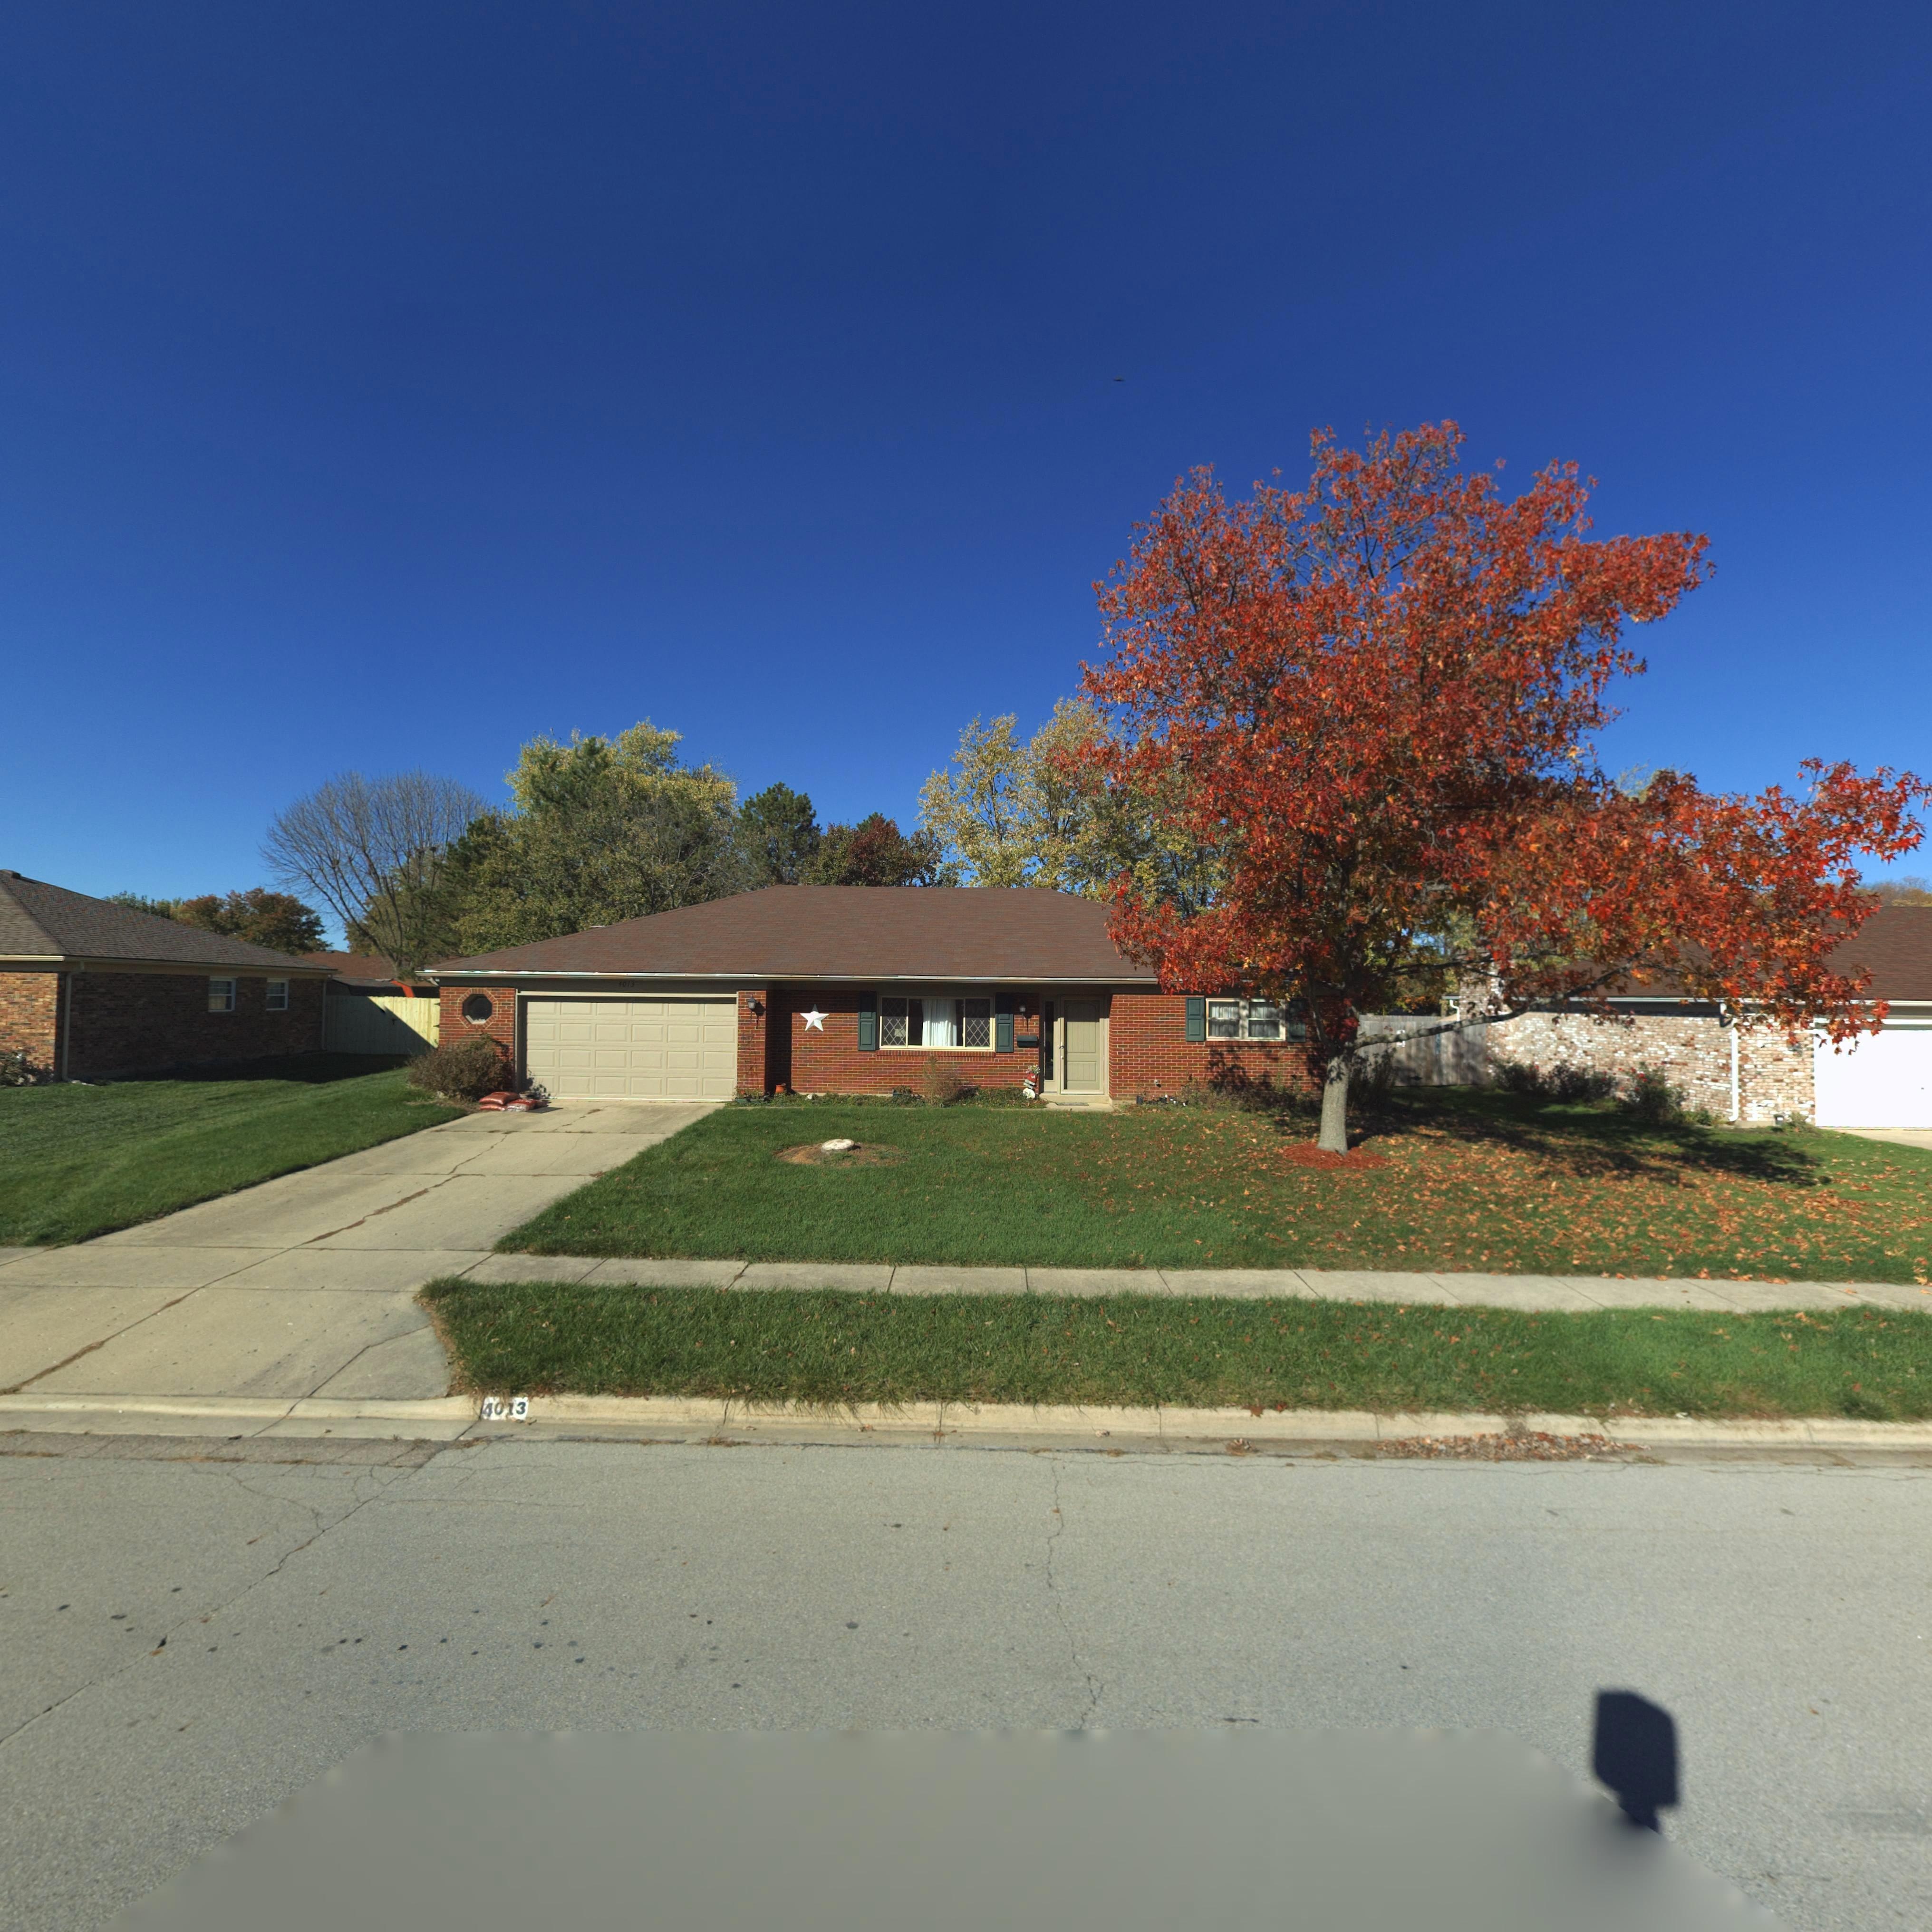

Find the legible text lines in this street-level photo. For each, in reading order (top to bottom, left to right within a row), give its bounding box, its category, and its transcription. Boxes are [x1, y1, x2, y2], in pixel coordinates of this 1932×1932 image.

[618, 980, 635, 987] StreetNumber: 4013
[480, 1401, 527, 1418] StreetNumber: 4013